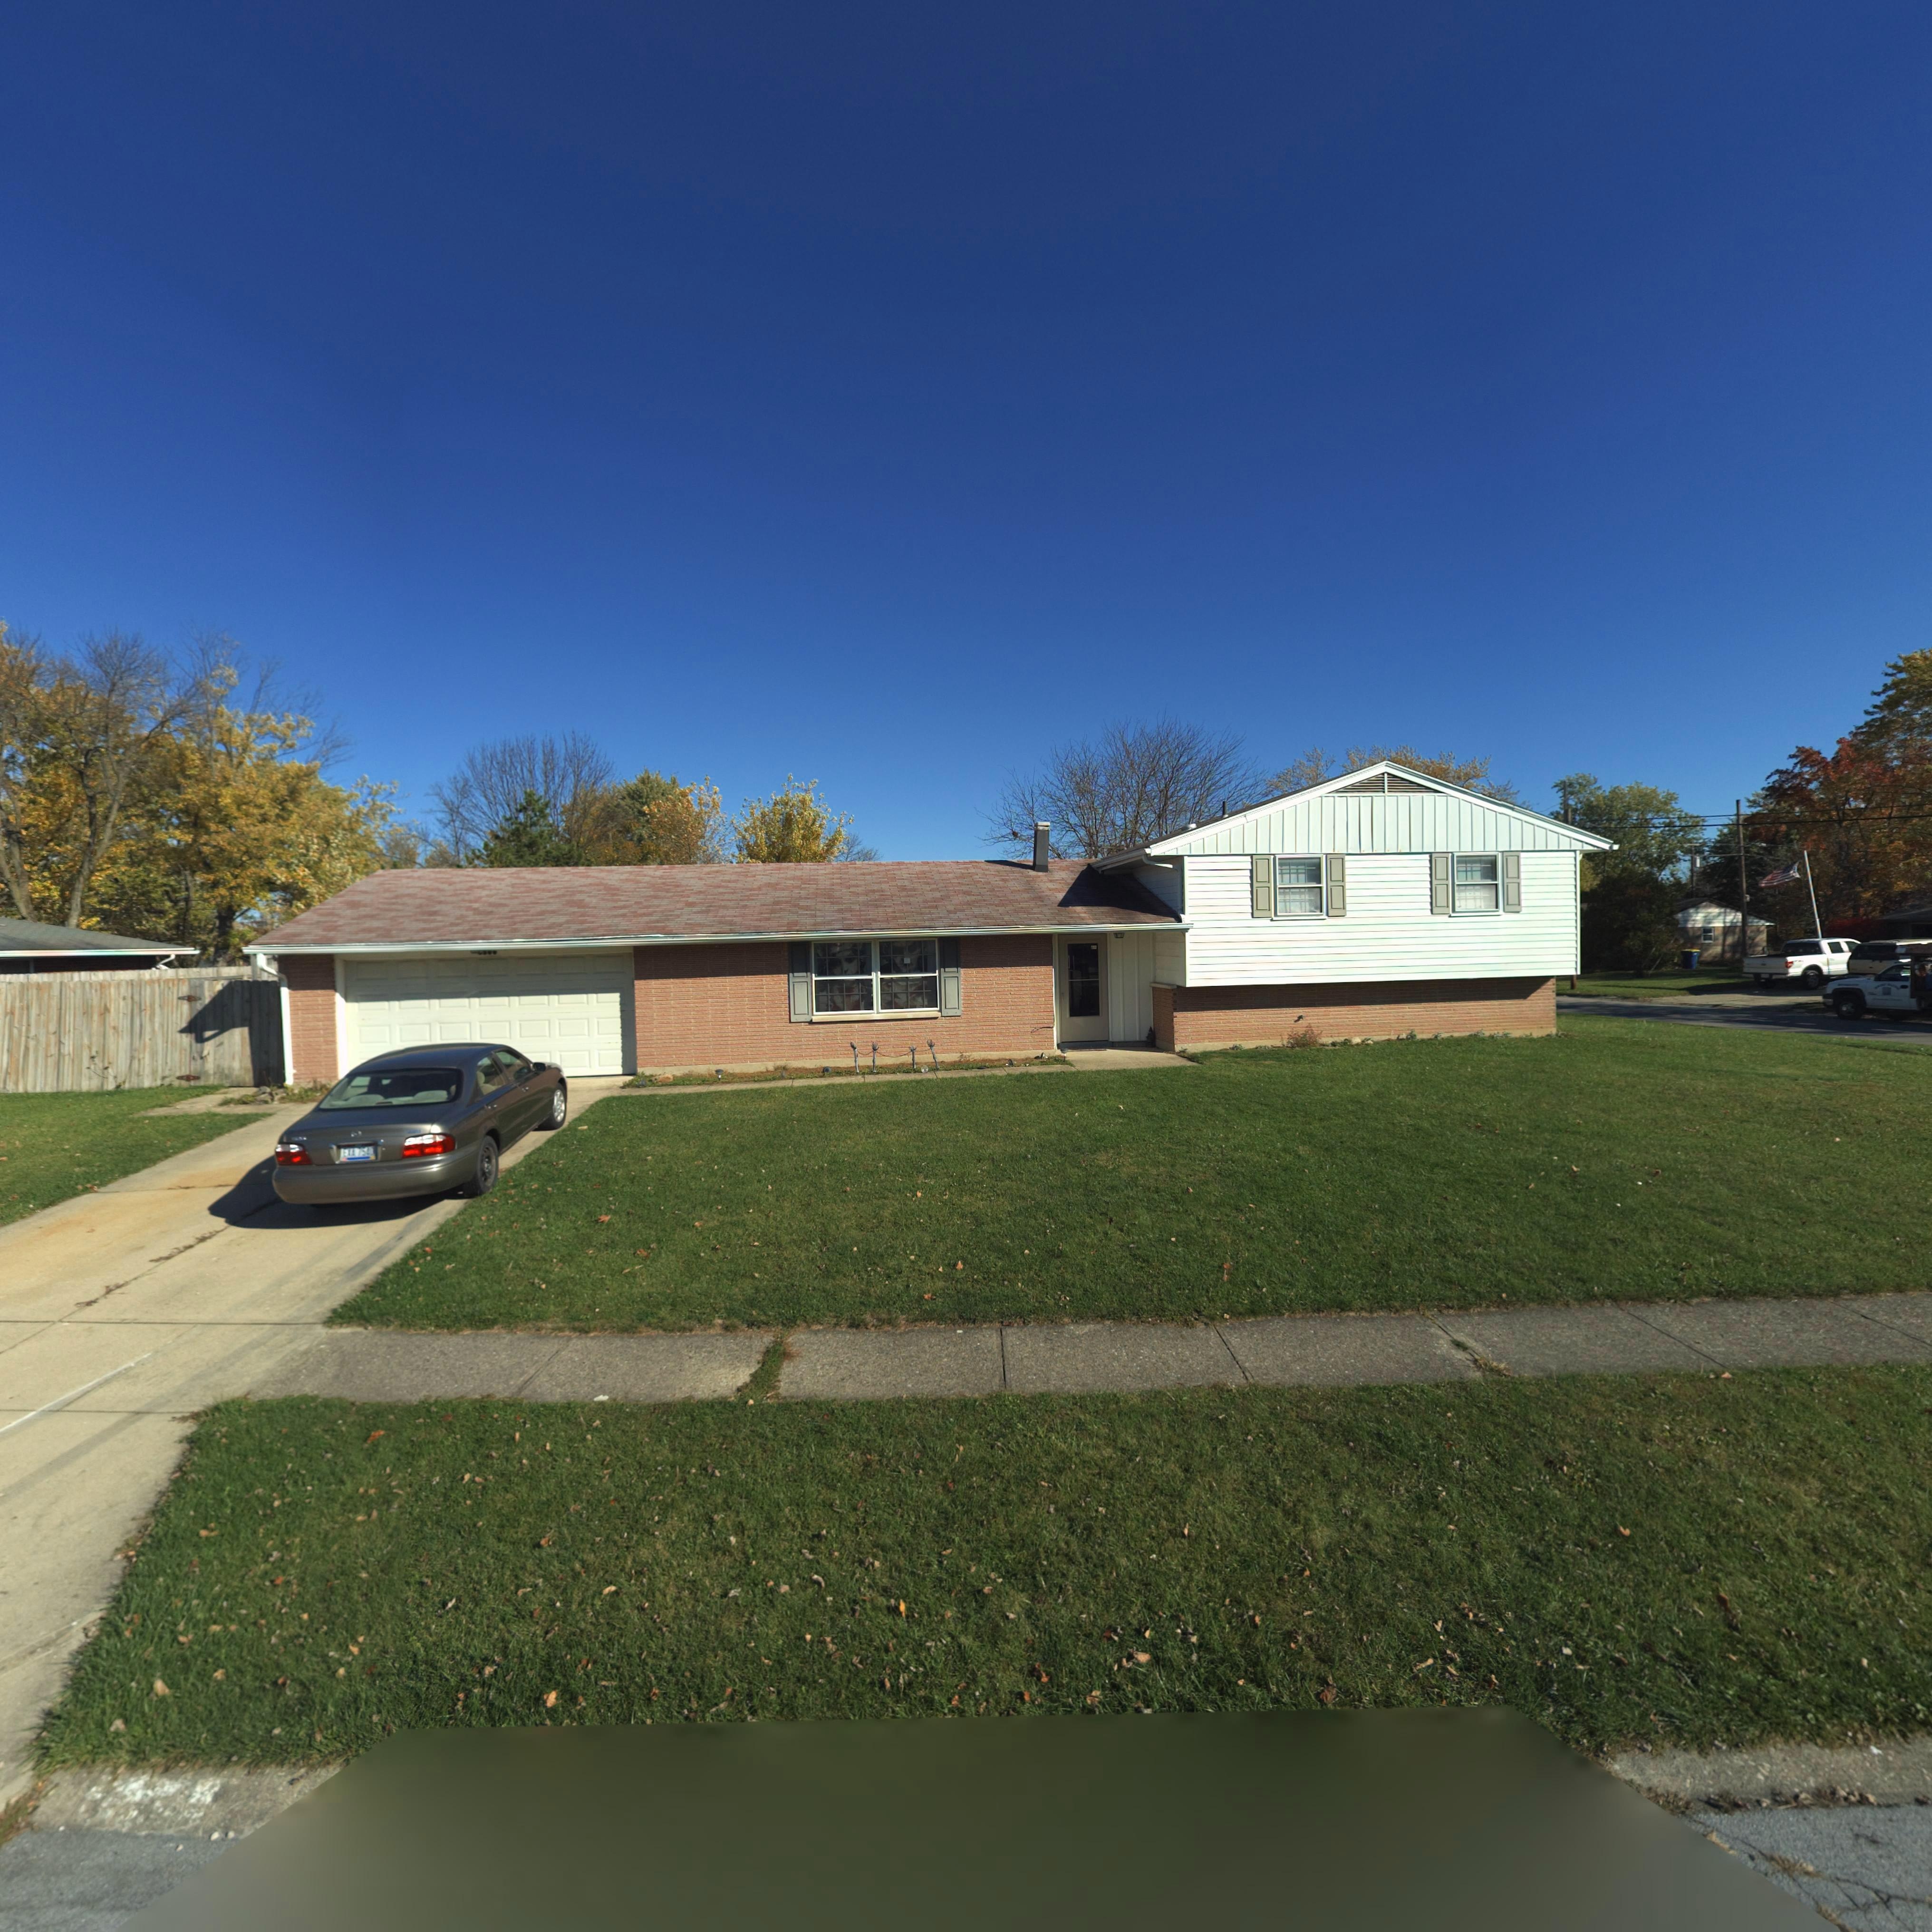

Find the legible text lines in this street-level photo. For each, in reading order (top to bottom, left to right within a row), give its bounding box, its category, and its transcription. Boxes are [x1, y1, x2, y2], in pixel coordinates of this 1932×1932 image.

[477, 949, 483, 955] StreetNumber: 6
[342, 1148, 348, 1158] None: E
[357, 1146, 367, 1157] None: 75